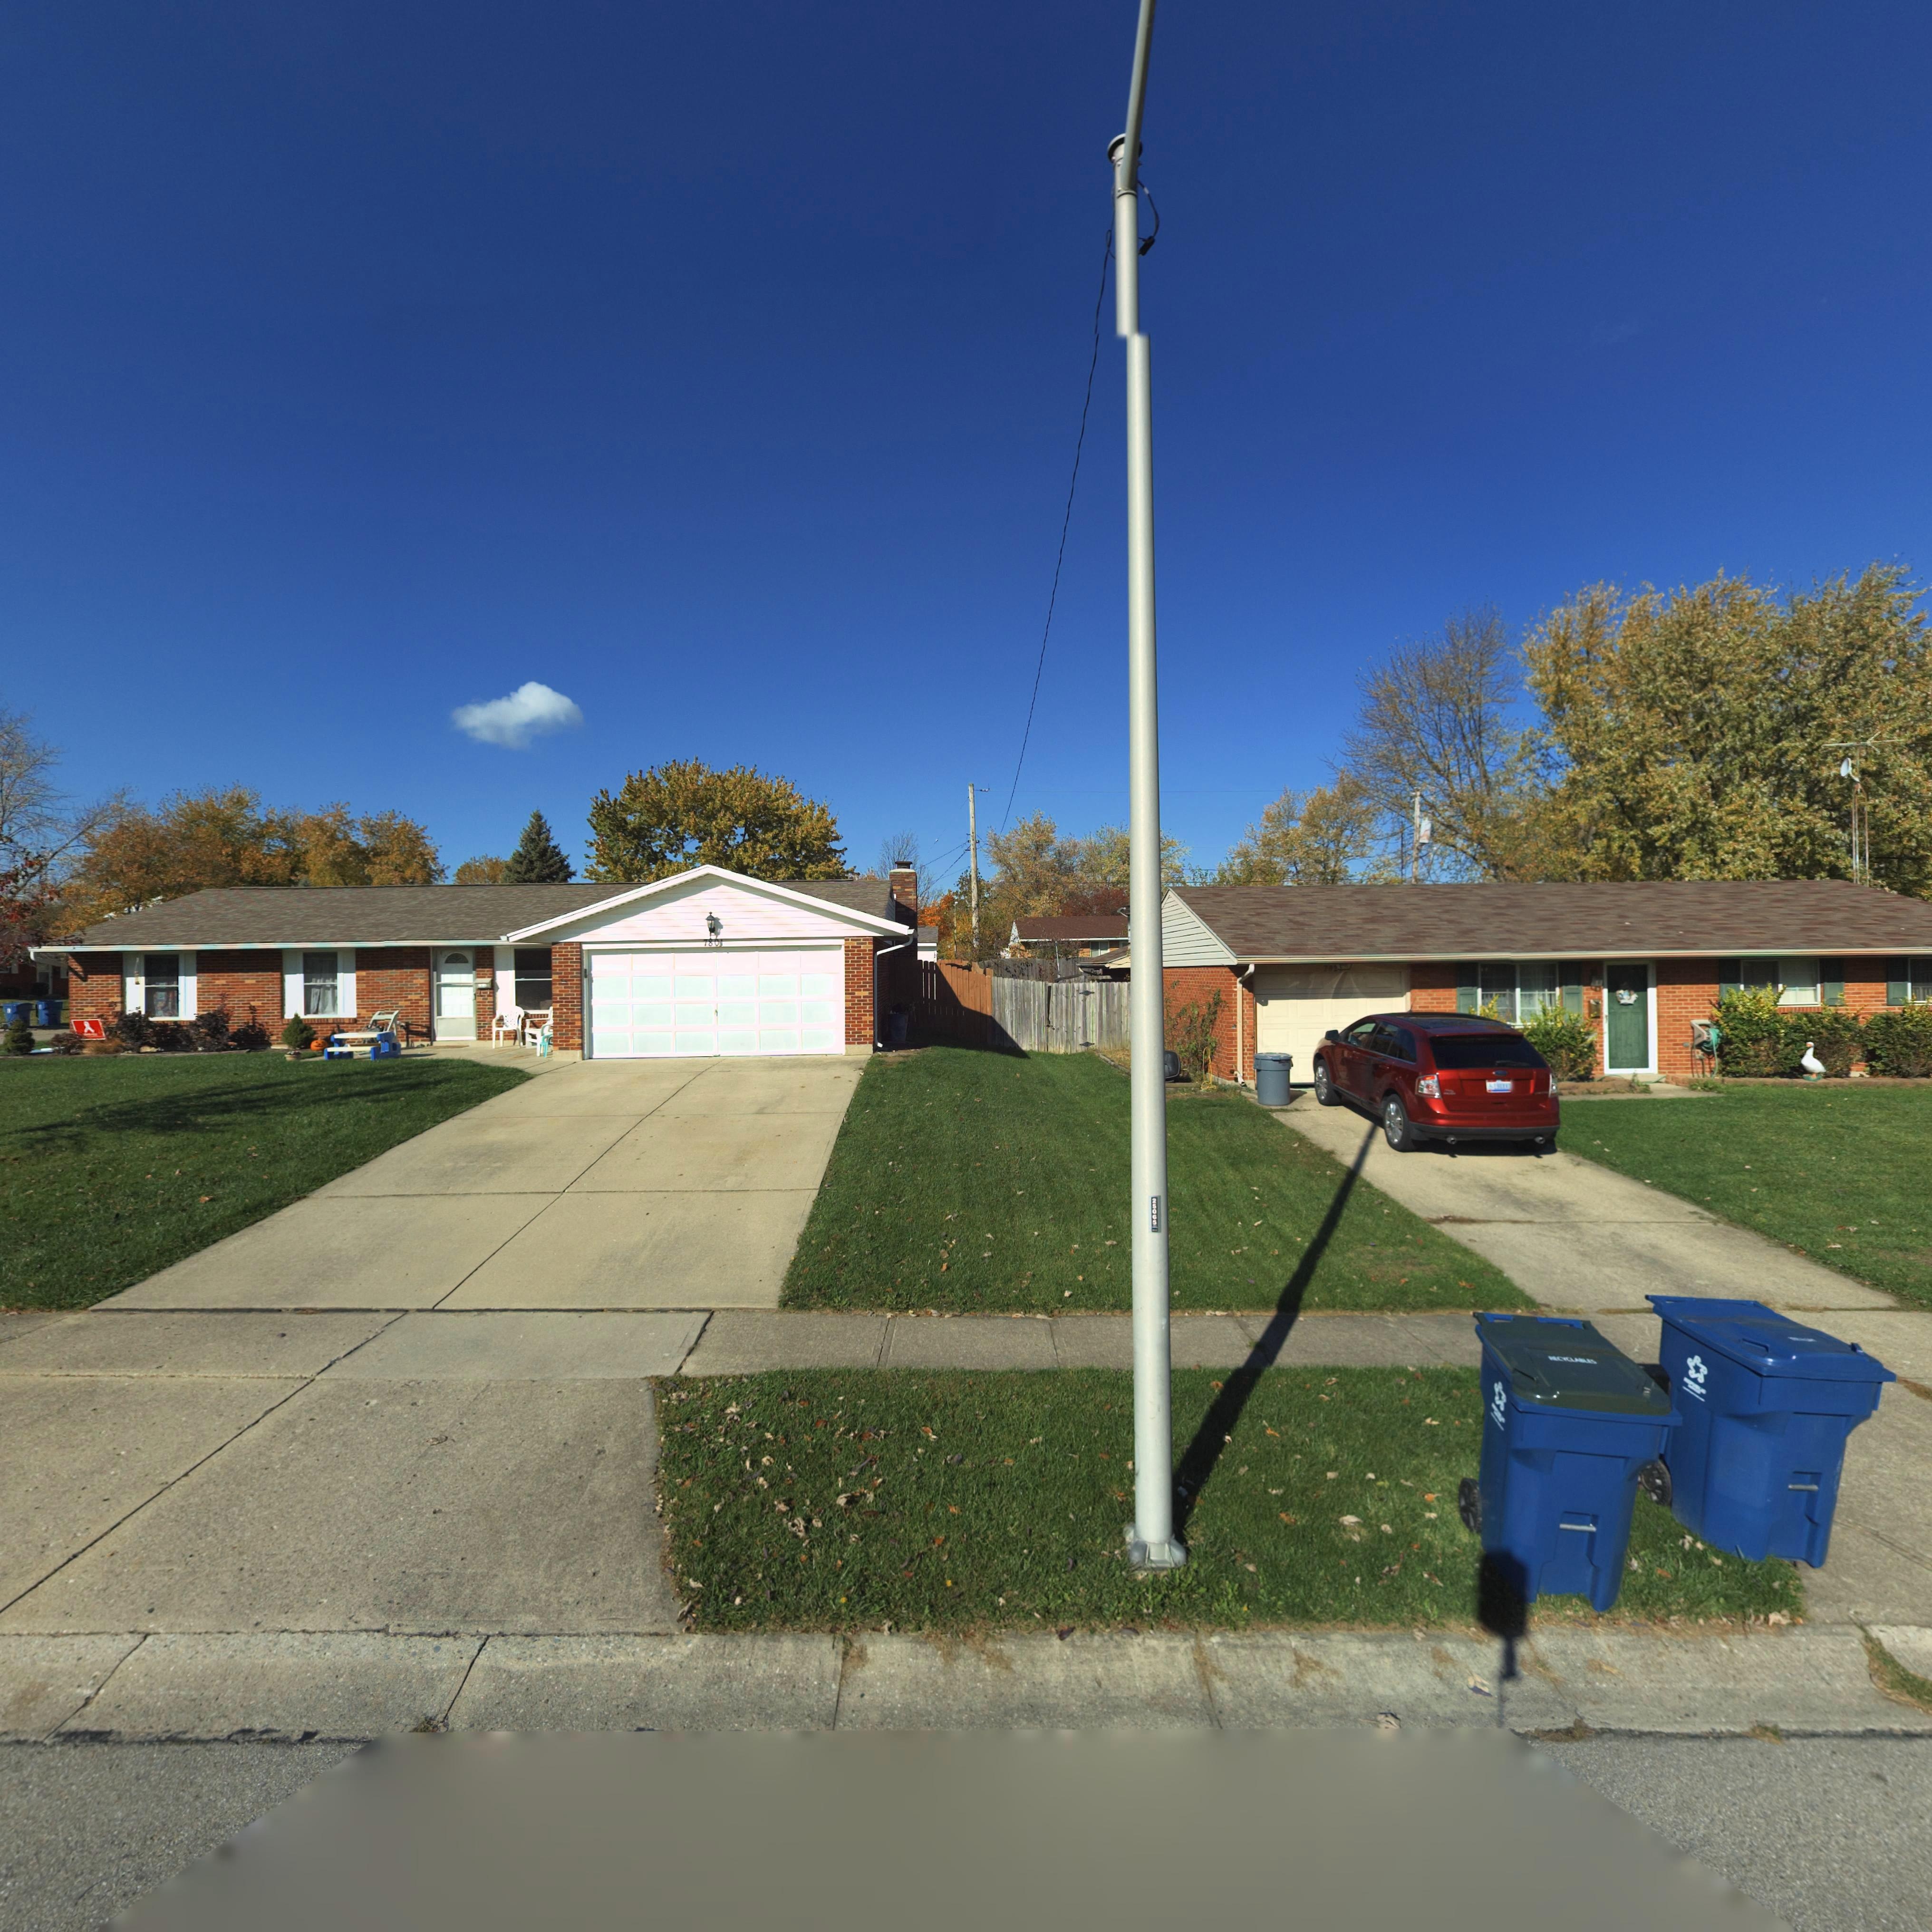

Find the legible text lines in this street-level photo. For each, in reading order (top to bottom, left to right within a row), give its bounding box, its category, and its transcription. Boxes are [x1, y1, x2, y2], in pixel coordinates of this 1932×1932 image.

[702, 938, 724, 947] StreetNumber: 7801
[1322, 964, 1339, 974] StreetNumber: 7*2